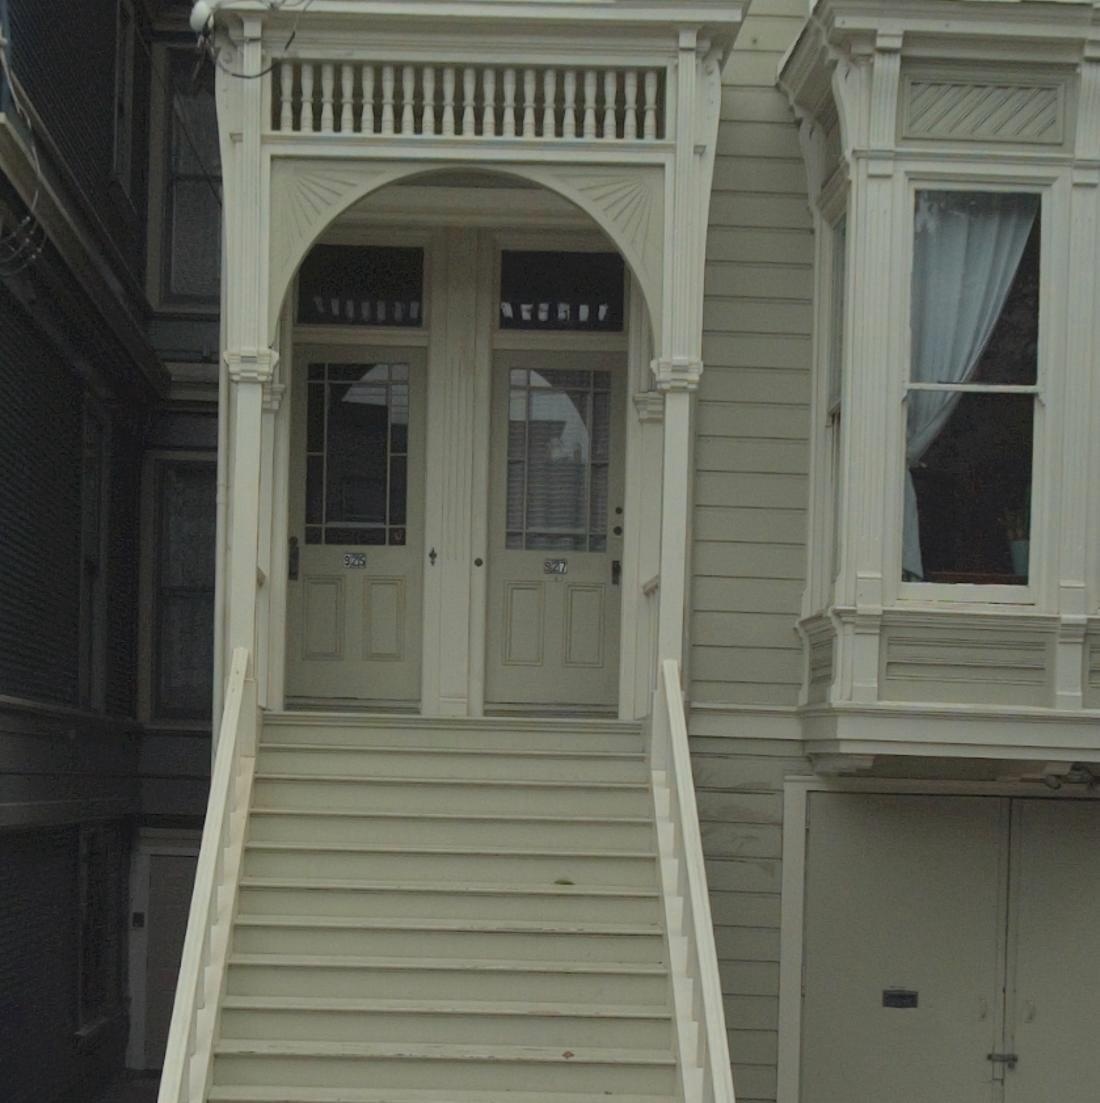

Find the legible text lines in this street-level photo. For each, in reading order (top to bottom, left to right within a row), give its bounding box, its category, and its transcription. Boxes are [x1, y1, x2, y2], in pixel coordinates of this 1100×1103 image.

[344, 554, 366, 567] StreetNumber: 925
[543, 561, 567, 573] StreetNumber: 927